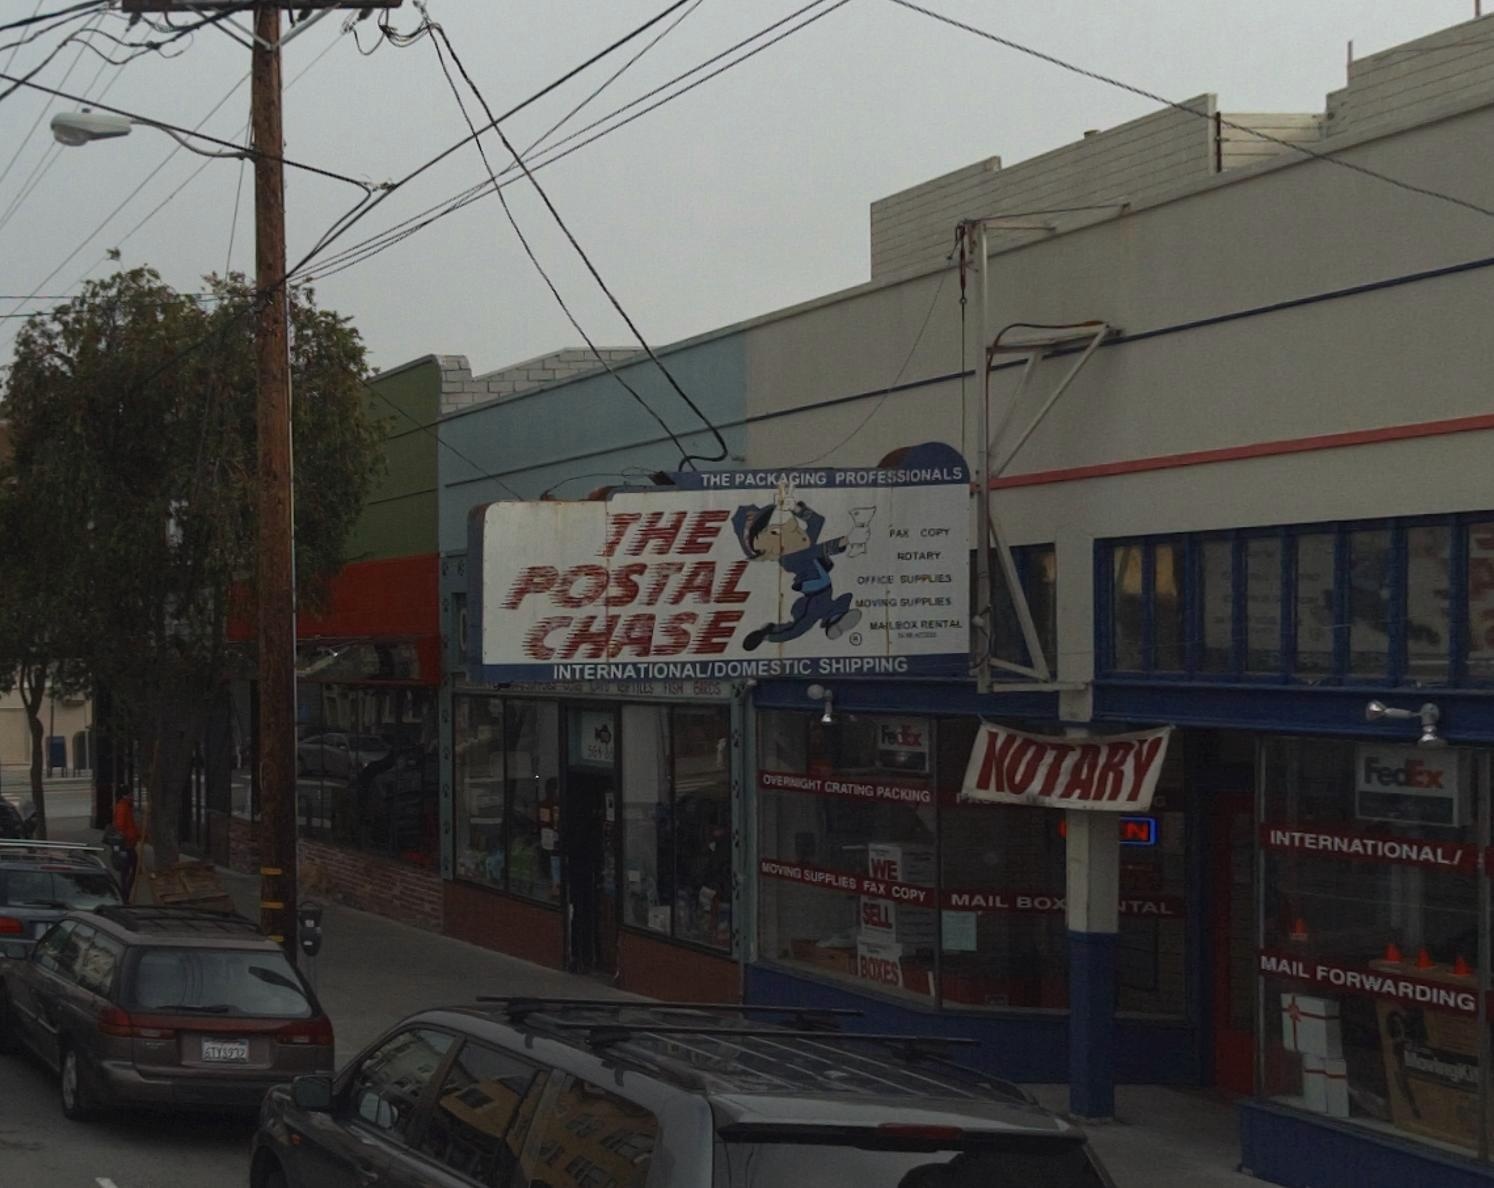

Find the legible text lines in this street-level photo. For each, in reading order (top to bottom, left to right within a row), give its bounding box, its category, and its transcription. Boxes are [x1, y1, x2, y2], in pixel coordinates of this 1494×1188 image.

[699, 466, 963, 488] None: THE PACKAGING PROFESSIONALS
[588, 509, 735, 556] BusinessName: THE
[889, 526, 951, 539] None: FAX COPY
[896, 550, 943, 561] None: NOTARY
[496, 560, 753, 611] BusinessName: POSTAL
[856, 572, 953, 586] None: OFFICE SUPPLIES
[854, 596, 954, 608] None: MOVING SUPPLIES
[517, 609, 747, 663] BusinessName: CHASE
[868, 618, 963, 631] None: MAILBOX RENTAL
[552, 655, 909, 681] None: INTERNATIONAL/DOMESTIC SHIPPING\
[615, 680, 723, 696] None: REPTILES FISH BIRDS
[880, 722, 924, 747] None: FedEx
[973, 728, 1164, 802] None: NOTARY
[1363, 756, 1447, 790] None: FedEx
[761, 771, 935, 805] None: OVERNIGHT CRAT*NG PACKING
[1124, 821, 1150, 841] None: N
[1269, 828, 1463, 867] None: INTERNATIONAL/
[758, 858, 928, 904] None: MOVING SUPPLIES FAX COPY
[870, 856, 899, 883] None: WE
[862, 900, 894, 930] None: SELL
[950, 892, 1066, 911] None: MAIL BOX
[1126, 899, 1177, 915] None: TAL
[860, 954, 901, 986] None: BOXES
[1258, 953, 1477, 1015] None: MAIL FORWARDING
[203, 1046, 247, 1059] None: 5TY5932